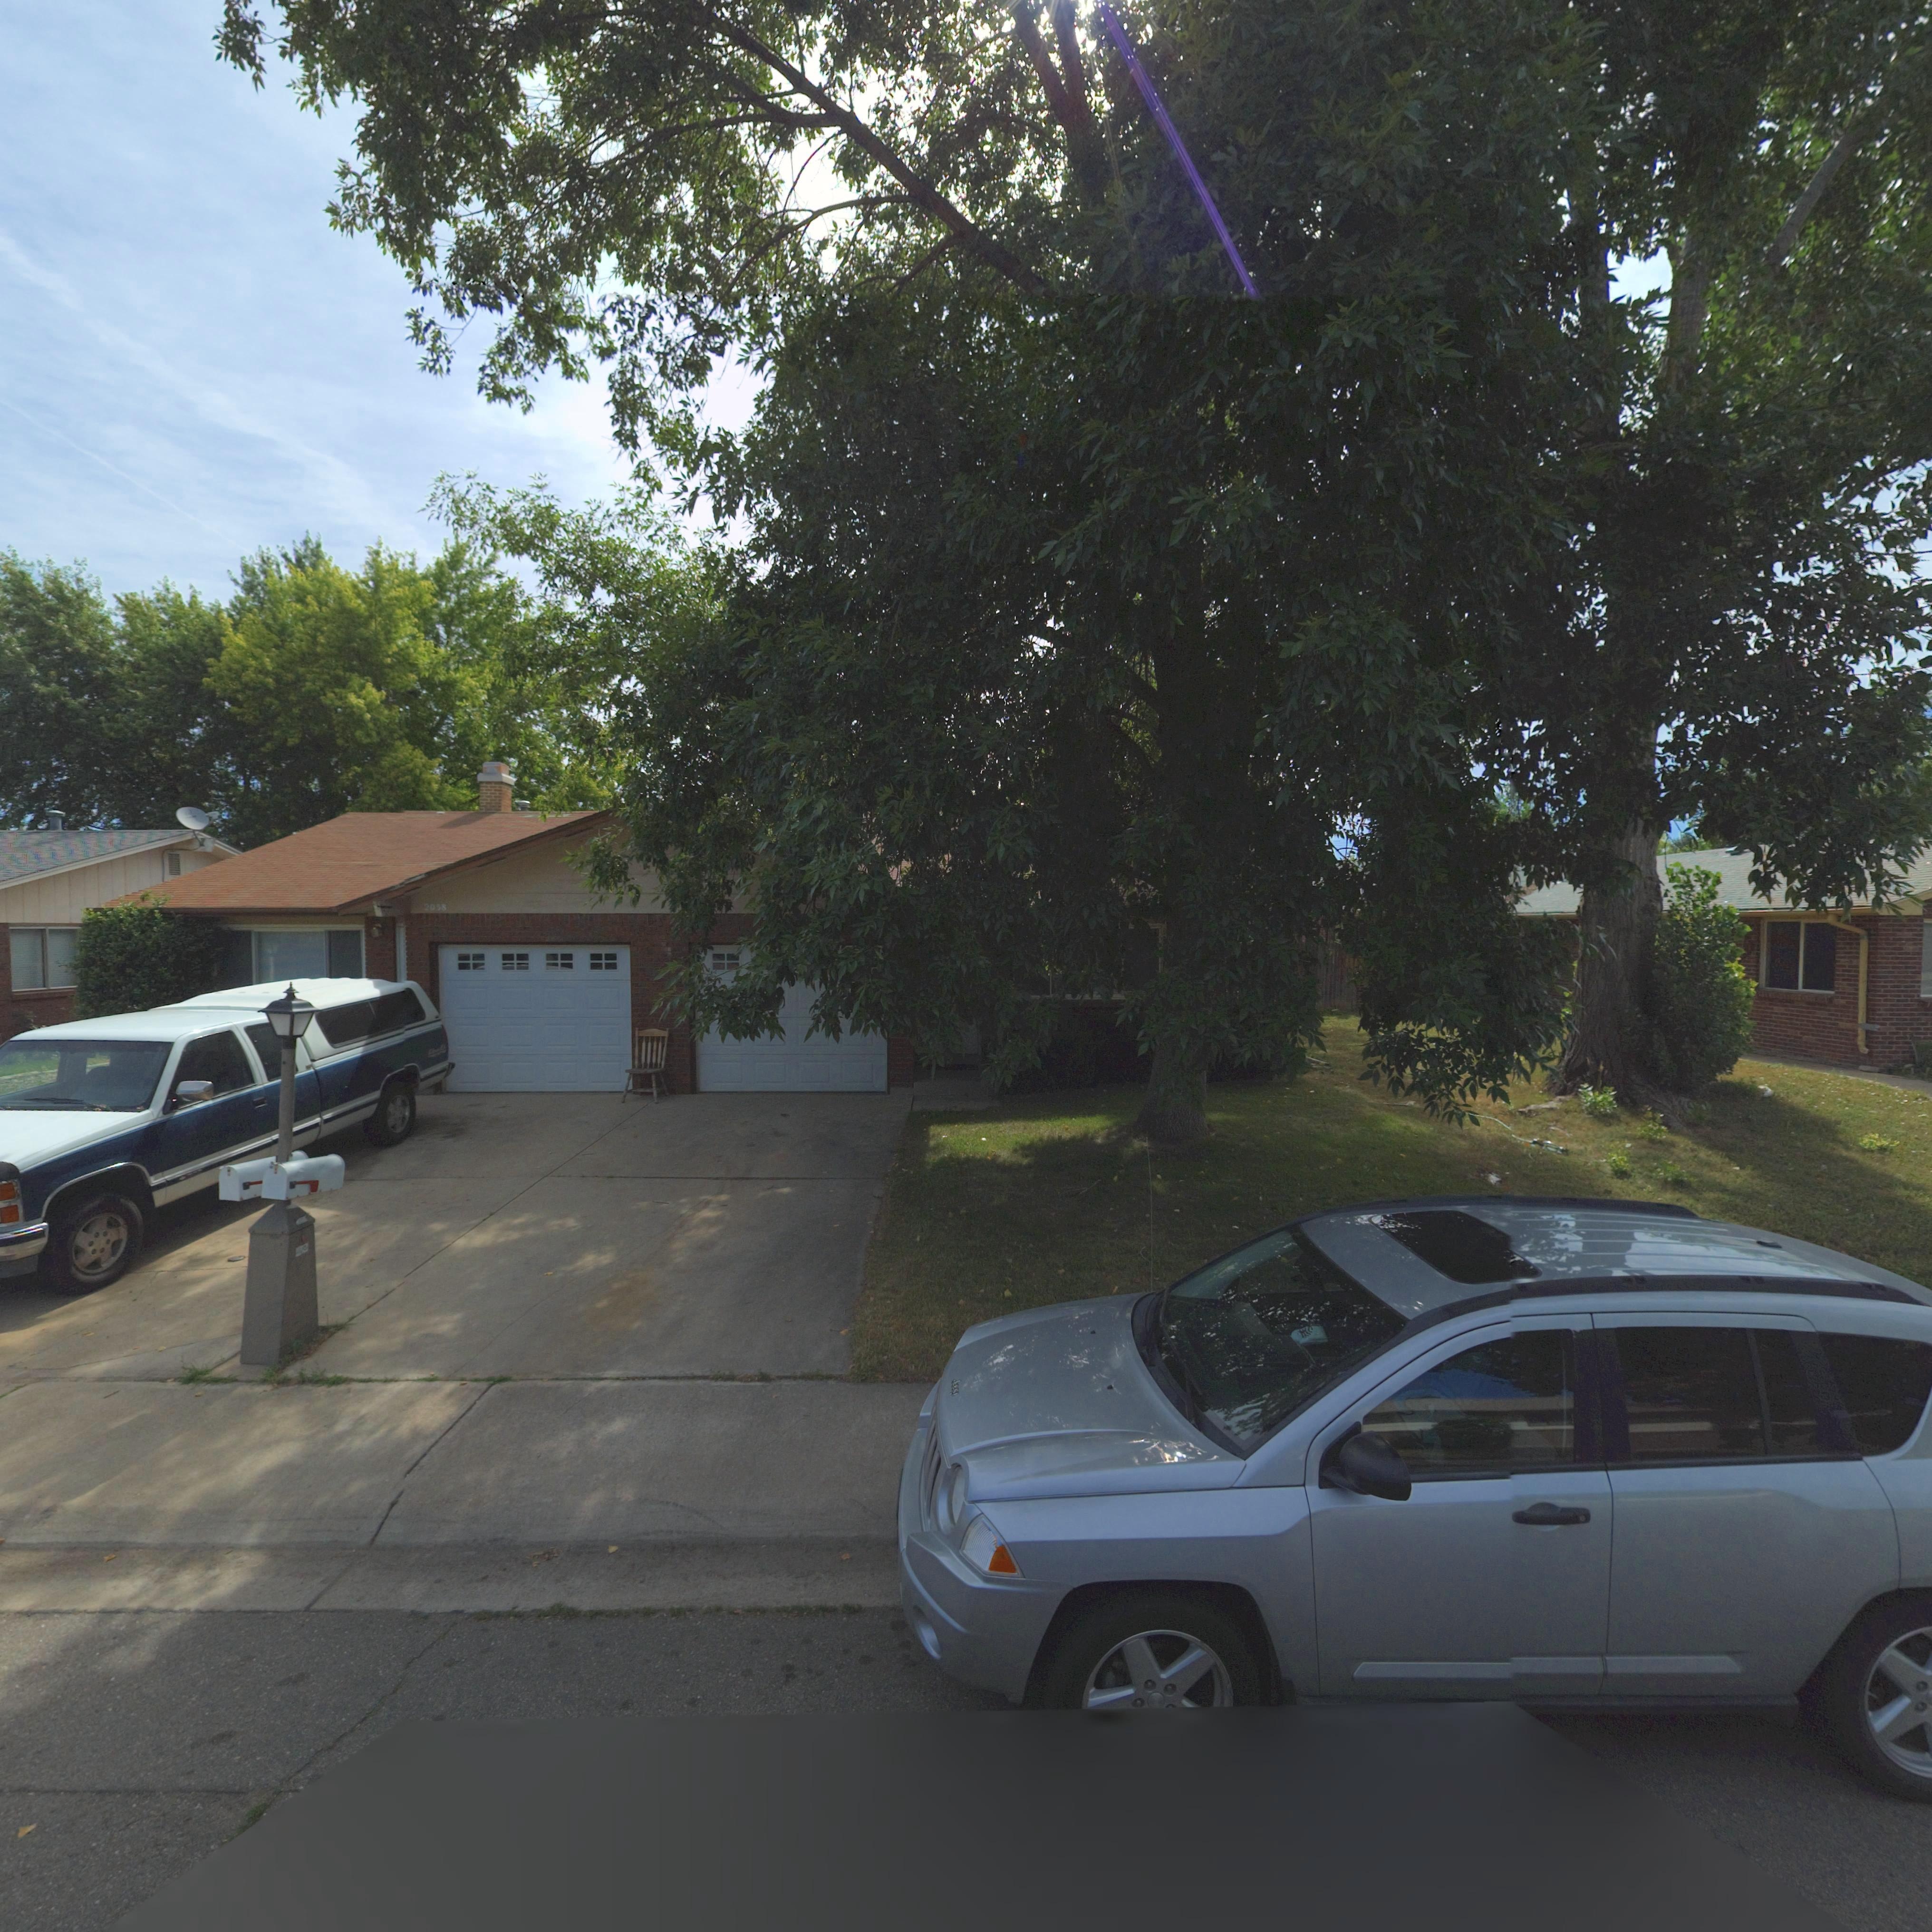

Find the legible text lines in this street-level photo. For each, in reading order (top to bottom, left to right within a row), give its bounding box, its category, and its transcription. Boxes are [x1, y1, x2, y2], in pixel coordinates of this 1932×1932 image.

[423, 903, 447, 911] StreetNumber: 2038